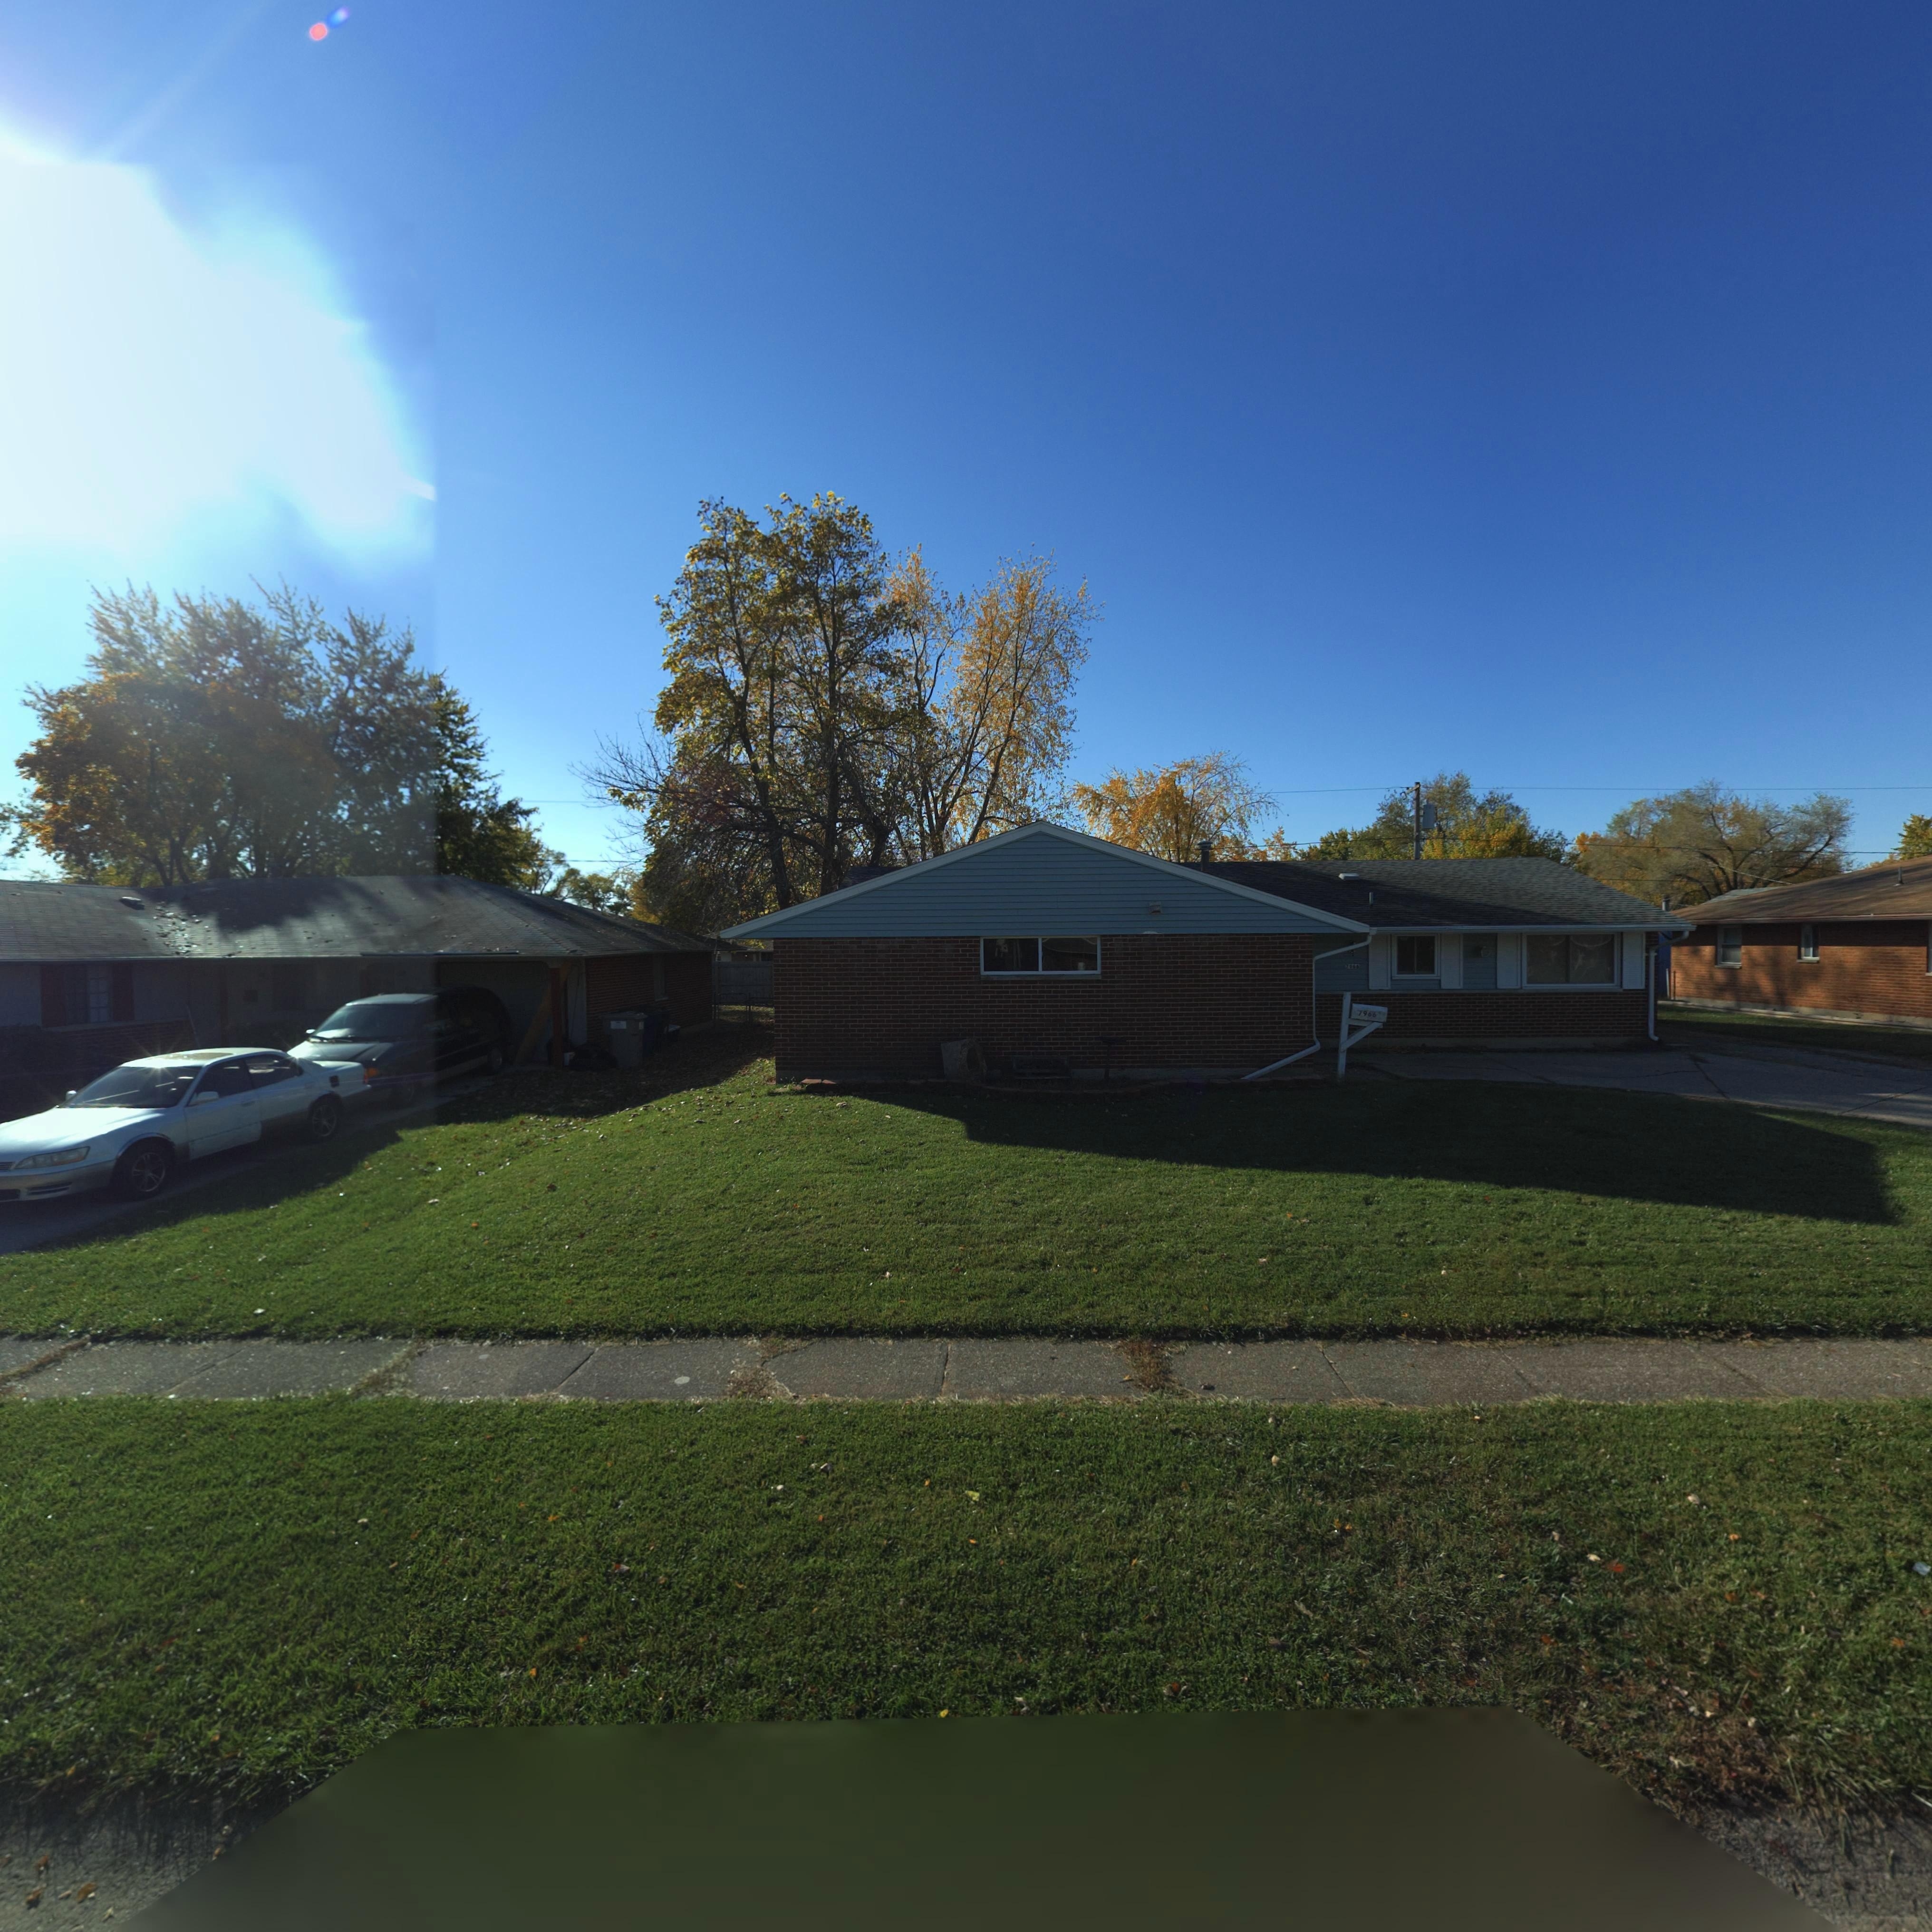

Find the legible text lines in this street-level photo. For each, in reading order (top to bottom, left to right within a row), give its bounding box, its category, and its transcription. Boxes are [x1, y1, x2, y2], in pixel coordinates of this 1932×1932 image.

[1345, 964, 1360, 969] StreetNumber: 7966
[1358, 1010, 1377, 1018] StreetNumber: 7966